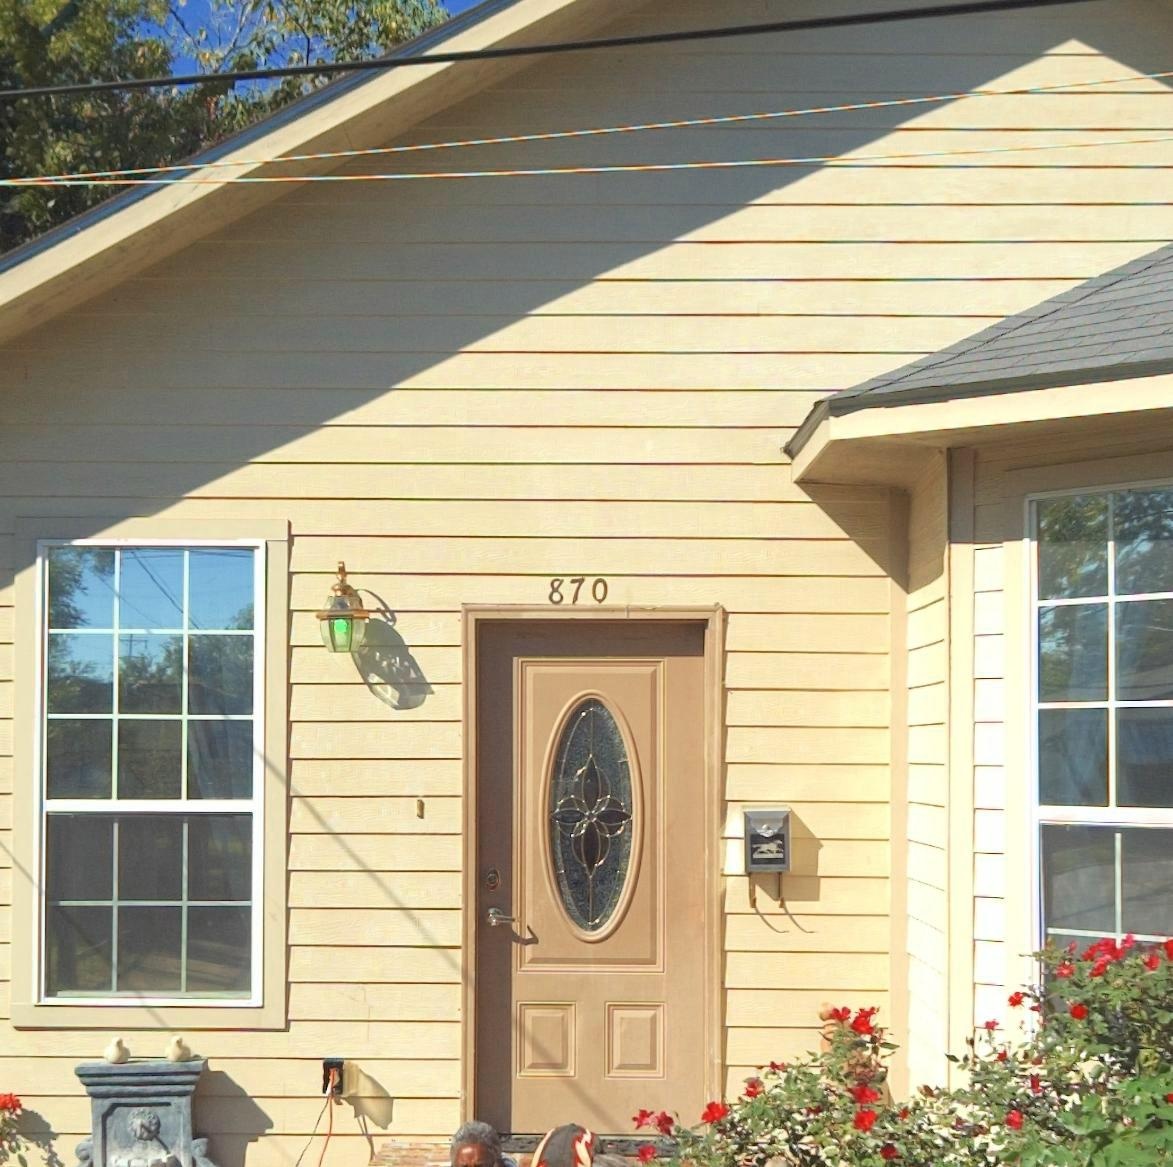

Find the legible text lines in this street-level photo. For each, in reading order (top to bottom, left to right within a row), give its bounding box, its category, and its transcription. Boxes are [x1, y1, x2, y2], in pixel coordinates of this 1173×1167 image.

[546, 575, 611, 607] StreetNumber: 870